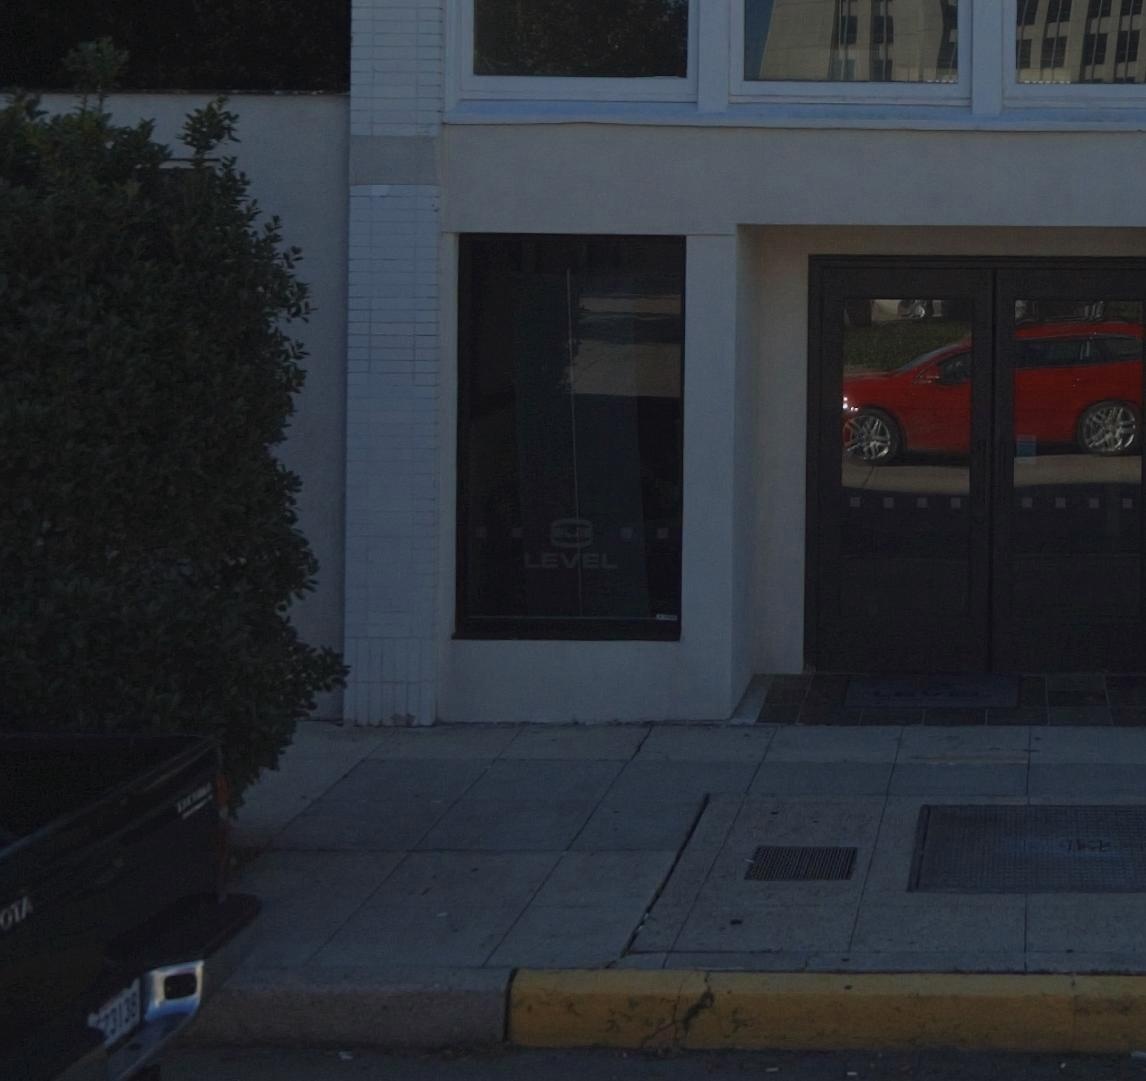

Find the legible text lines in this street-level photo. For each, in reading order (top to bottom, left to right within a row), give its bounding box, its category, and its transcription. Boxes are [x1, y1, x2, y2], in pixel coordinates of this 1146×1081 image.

[523, 549, 620, 571] BusinessName: LEVEL
[0, 890, 41, 936] None: OTA
[106, 985, 141, 1041] None: 3138